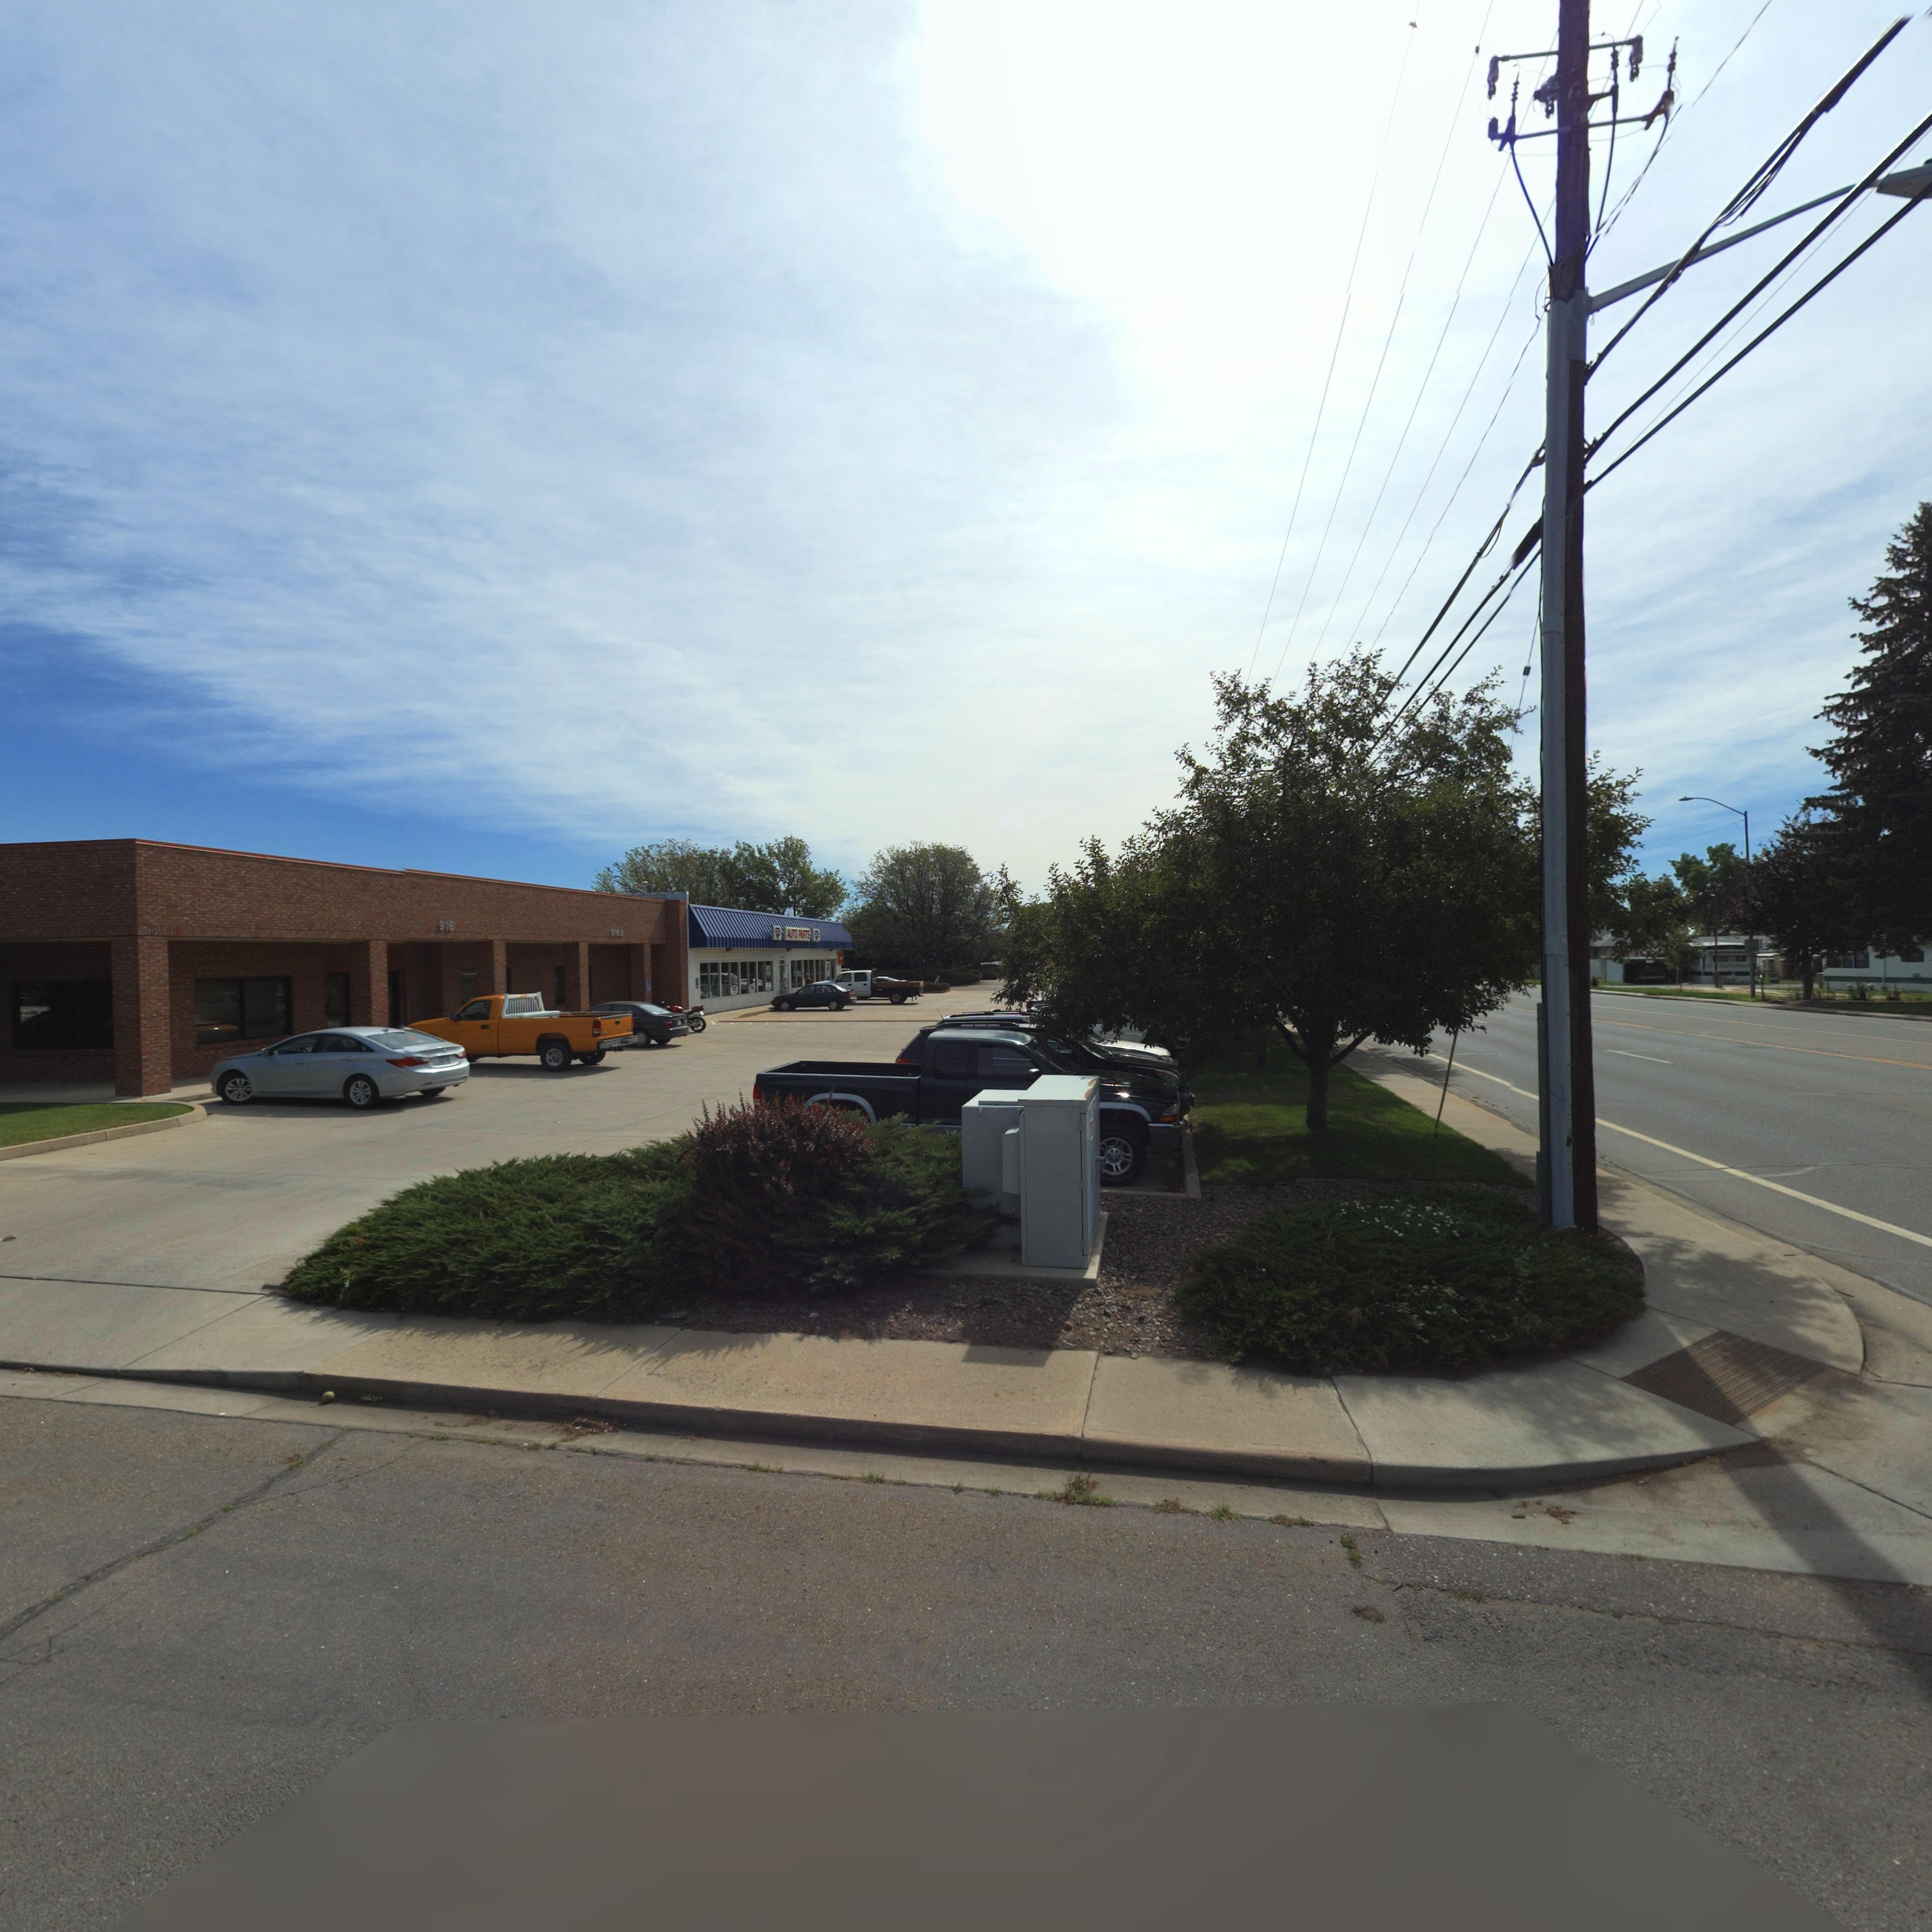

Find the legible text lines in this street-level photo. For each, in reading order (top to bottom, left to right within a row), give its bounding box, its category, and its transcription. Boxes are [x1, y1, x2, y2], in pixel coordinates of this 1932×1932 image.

[439, 920, 454, 931] StreetNumber: 916
[611, 929, 624, 937] StreetNumber: 91*B
[787, 928, 810, 939] BusinessName: AUTO PARTS